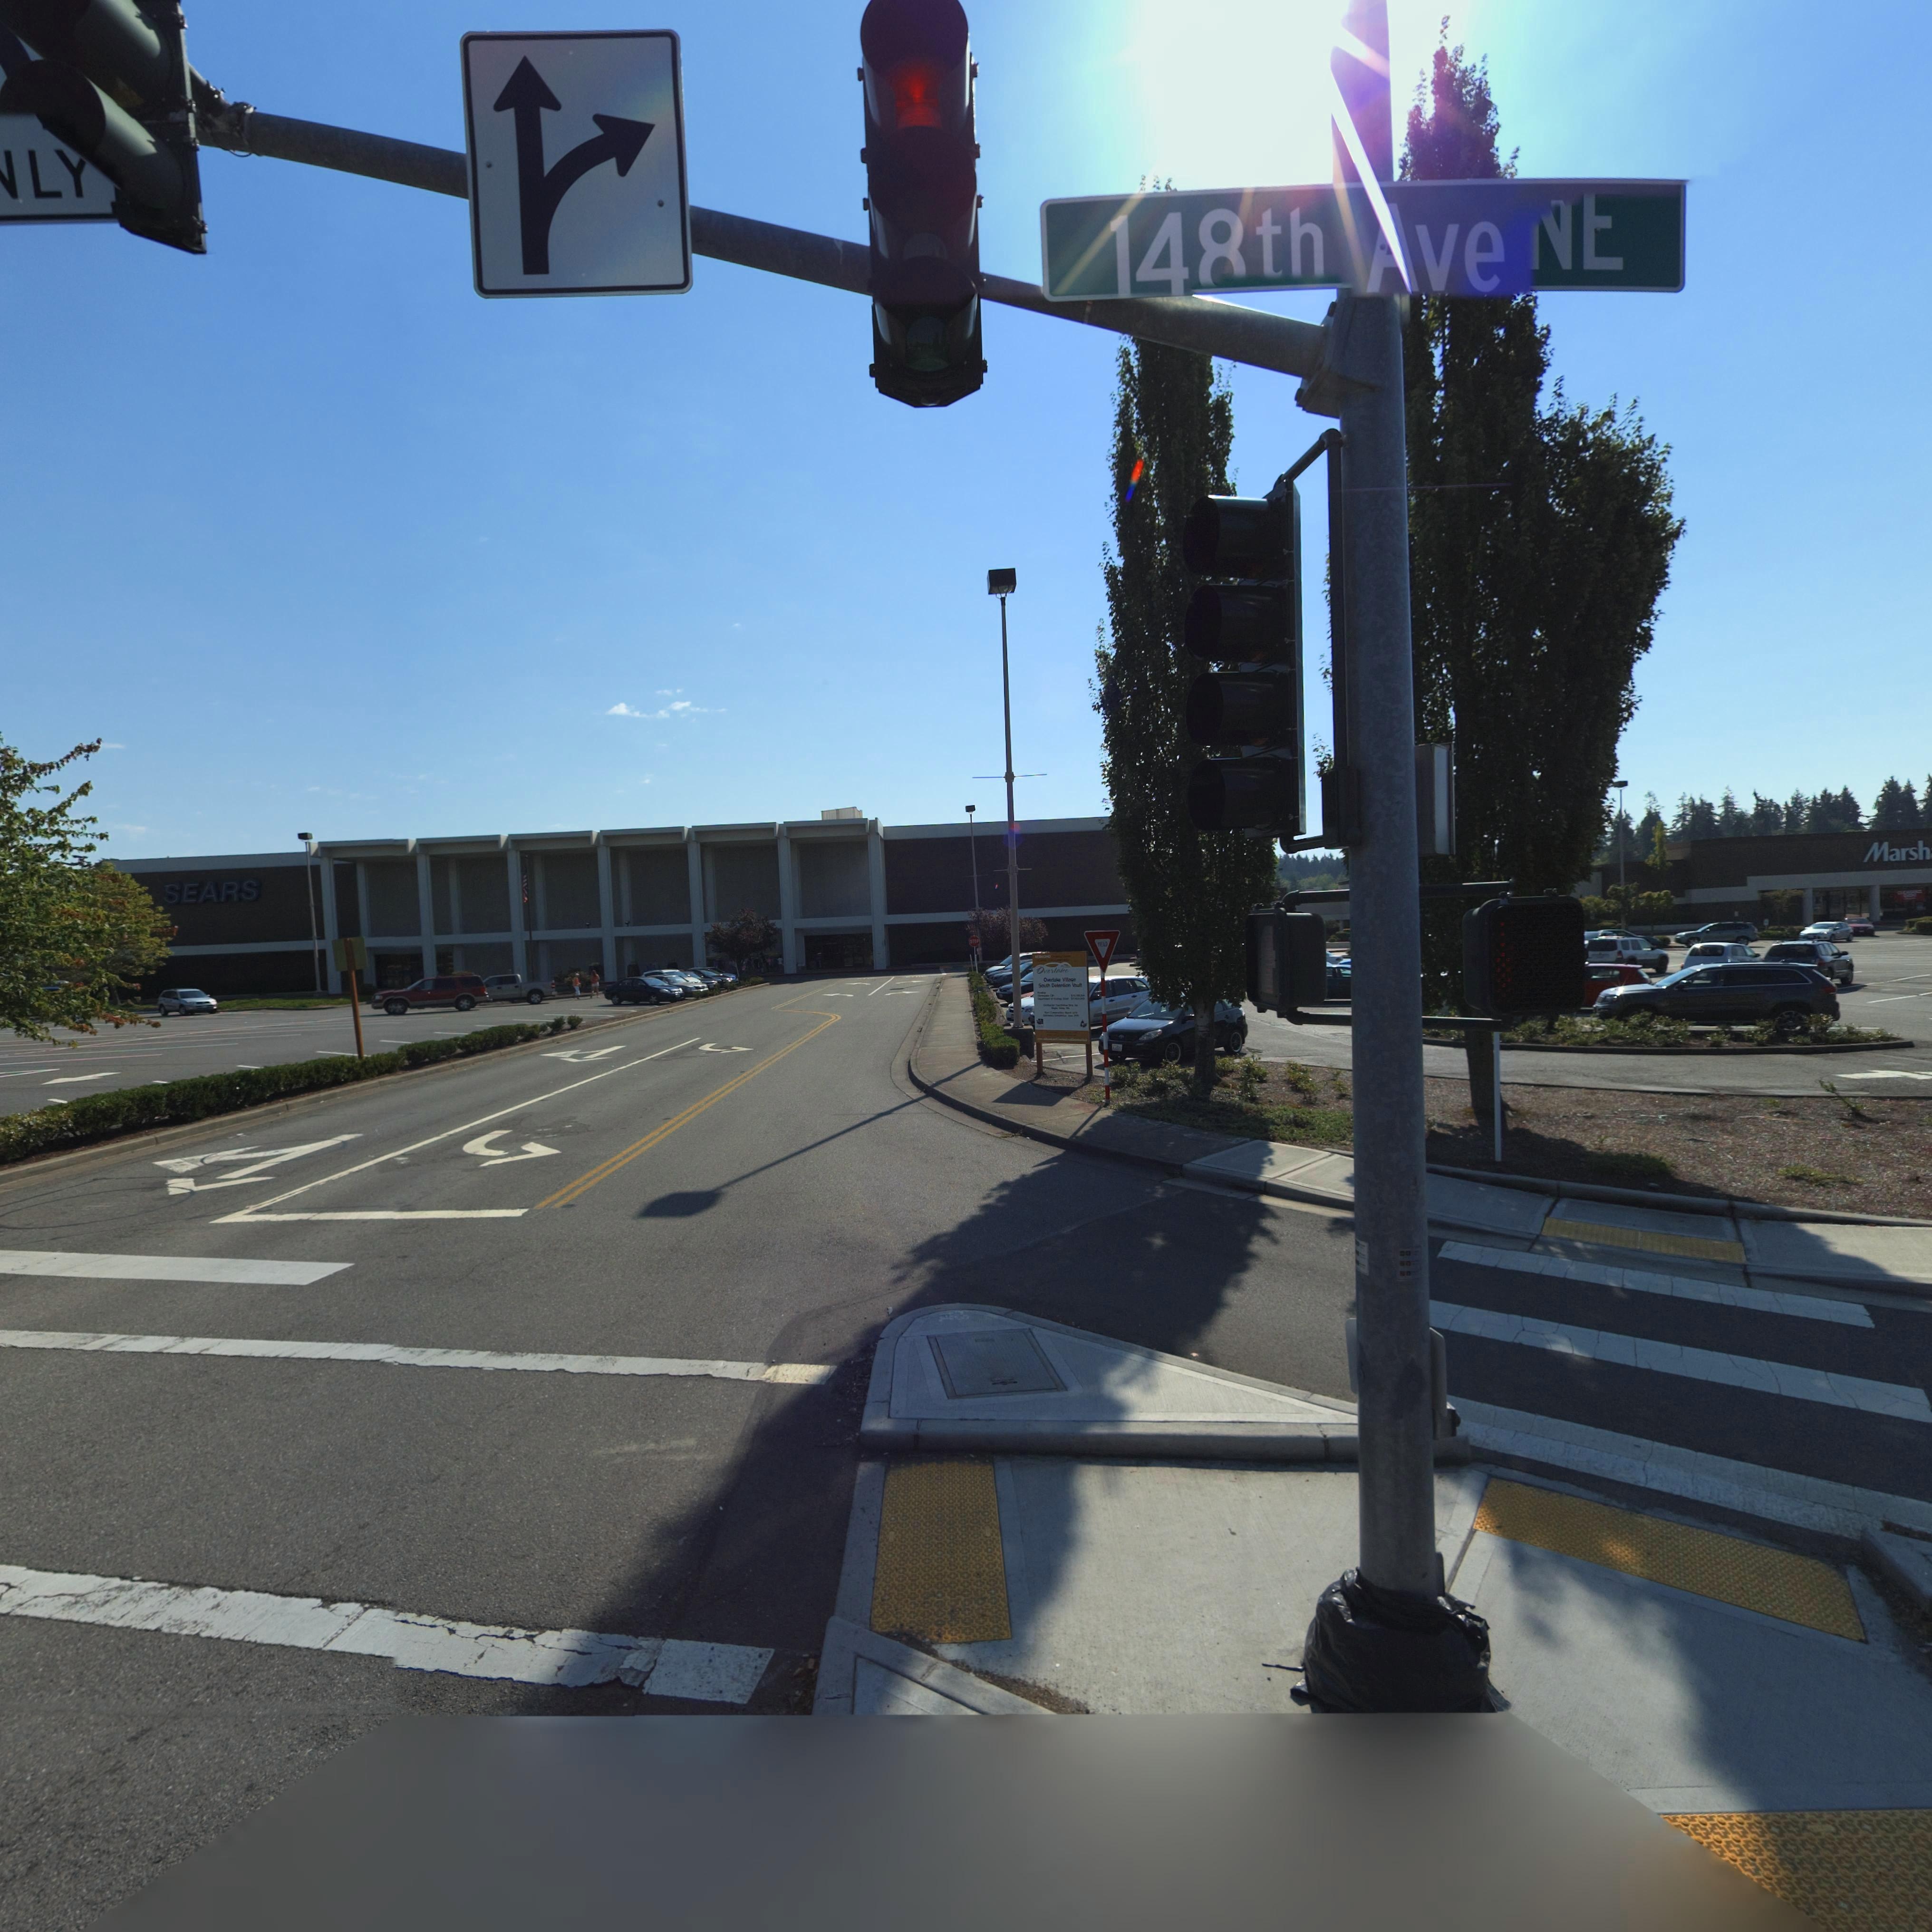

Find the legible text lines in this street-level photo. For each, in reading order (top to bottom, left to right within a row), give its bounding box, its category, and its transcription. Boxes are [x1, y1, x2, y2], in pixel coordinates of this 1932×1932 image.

[1098, 189, 1629, 299] StreetName: 148th Ave *E
[1861, 839, 1932, 861] BusinessName: Marsh
[163, 879, 257, 905] BusinessName: SEARS
[1035, 966, 1069, 974] BusinessName: Overlake